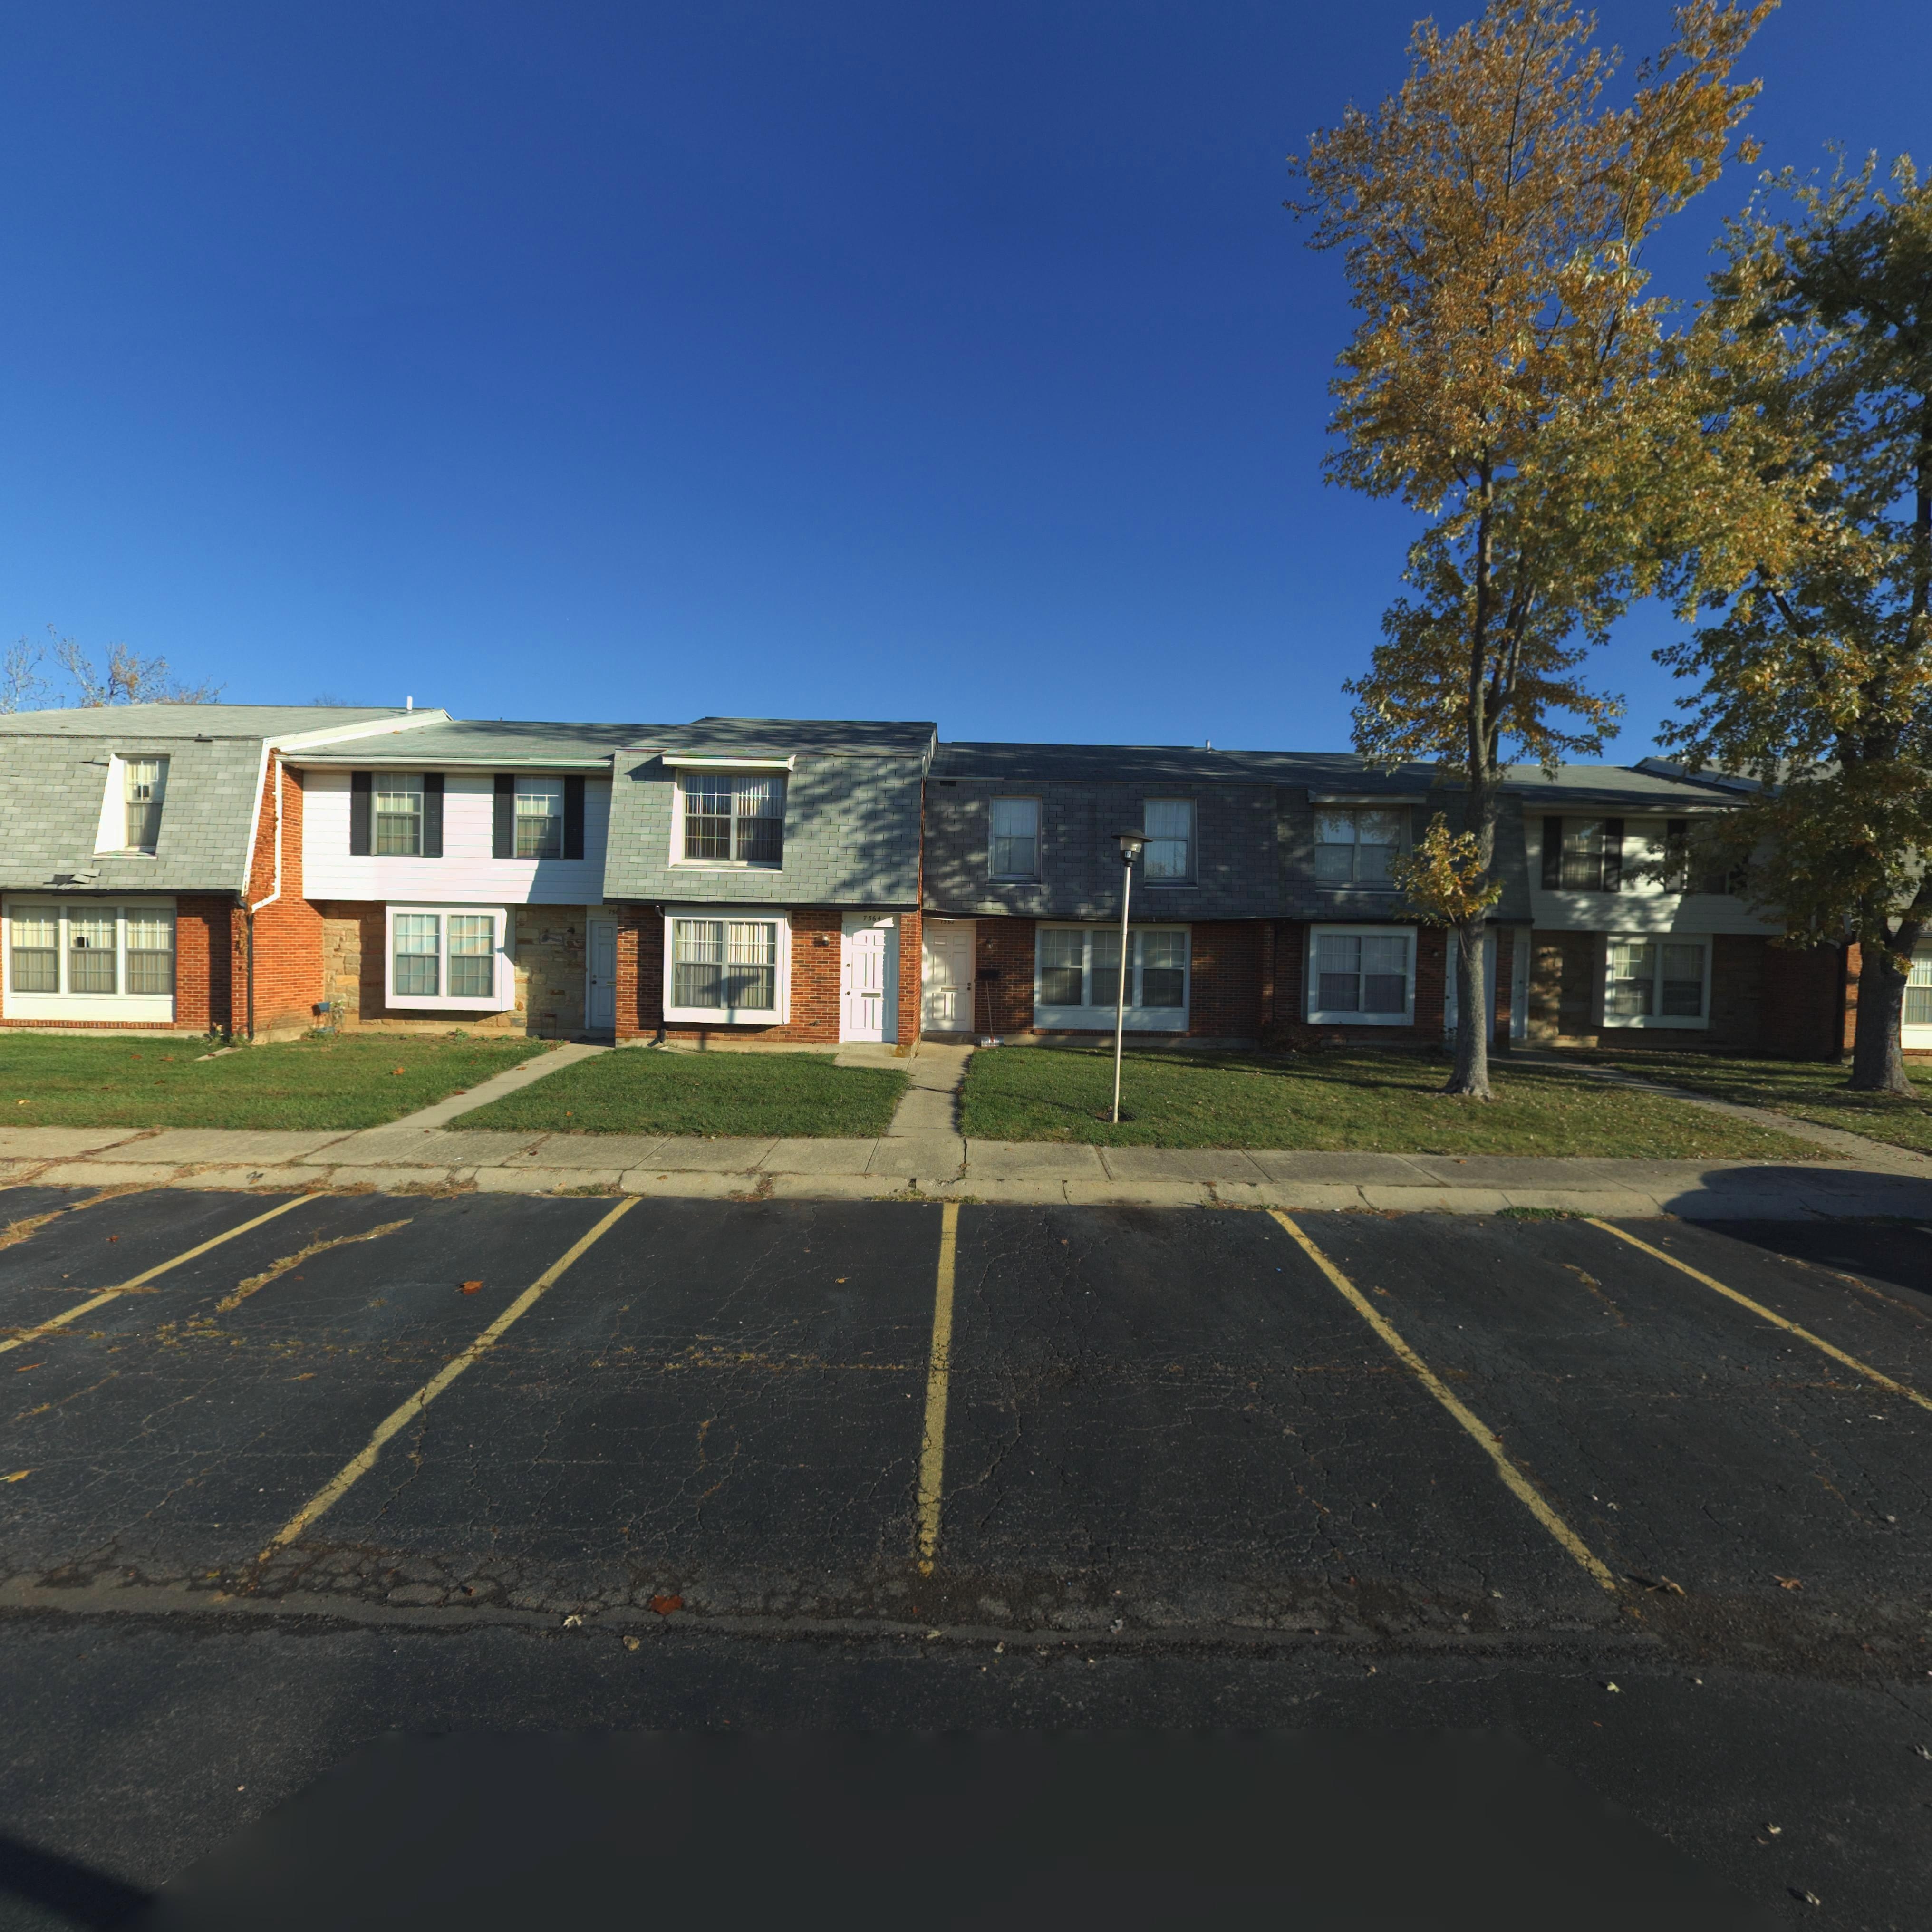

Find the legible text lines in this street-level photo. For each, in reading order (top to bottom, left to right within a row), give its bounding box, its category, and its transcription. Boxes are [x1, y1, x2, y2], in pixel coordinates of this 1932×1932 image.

[607, 908, 616, 916] StreetNumber: 75
[862, 914, 882, 923] StreetNumber: 7564